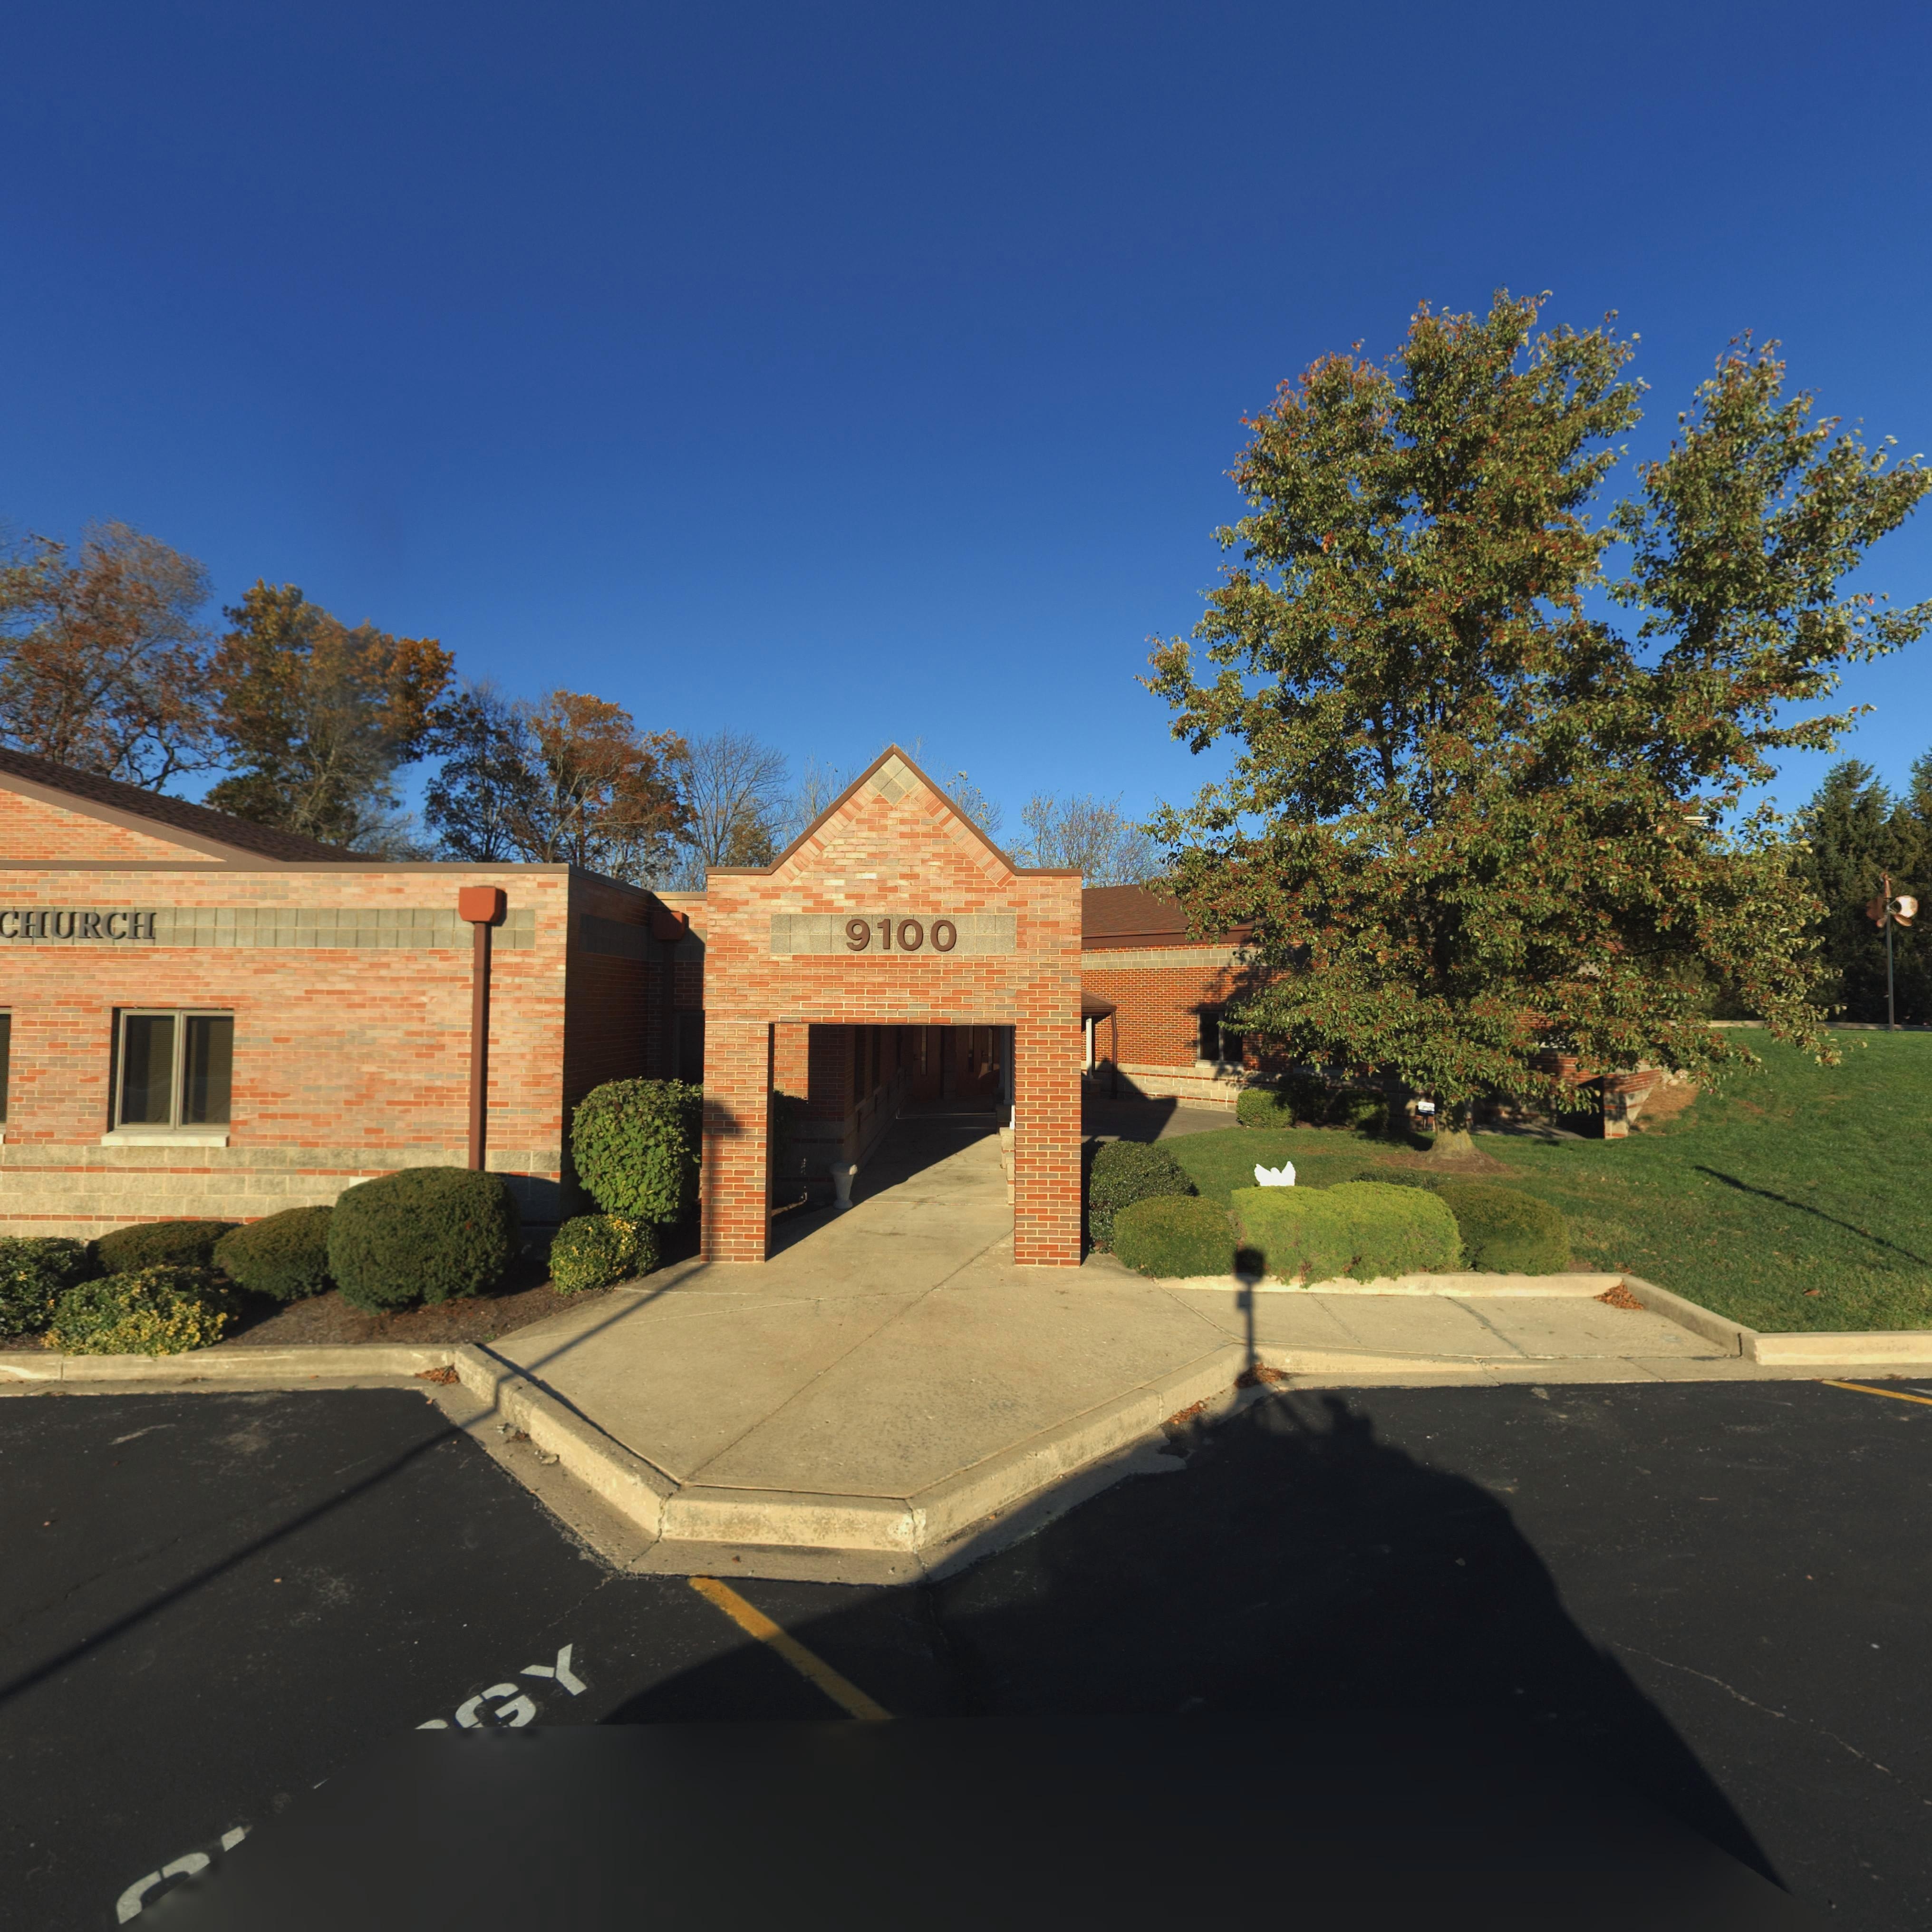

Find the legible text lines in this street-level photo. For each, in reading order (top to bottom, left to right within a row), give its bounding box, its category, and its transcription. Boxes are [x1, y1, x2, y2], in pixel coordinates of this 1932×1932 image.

[845, 918, 958, 952] StreetNumber: 9100